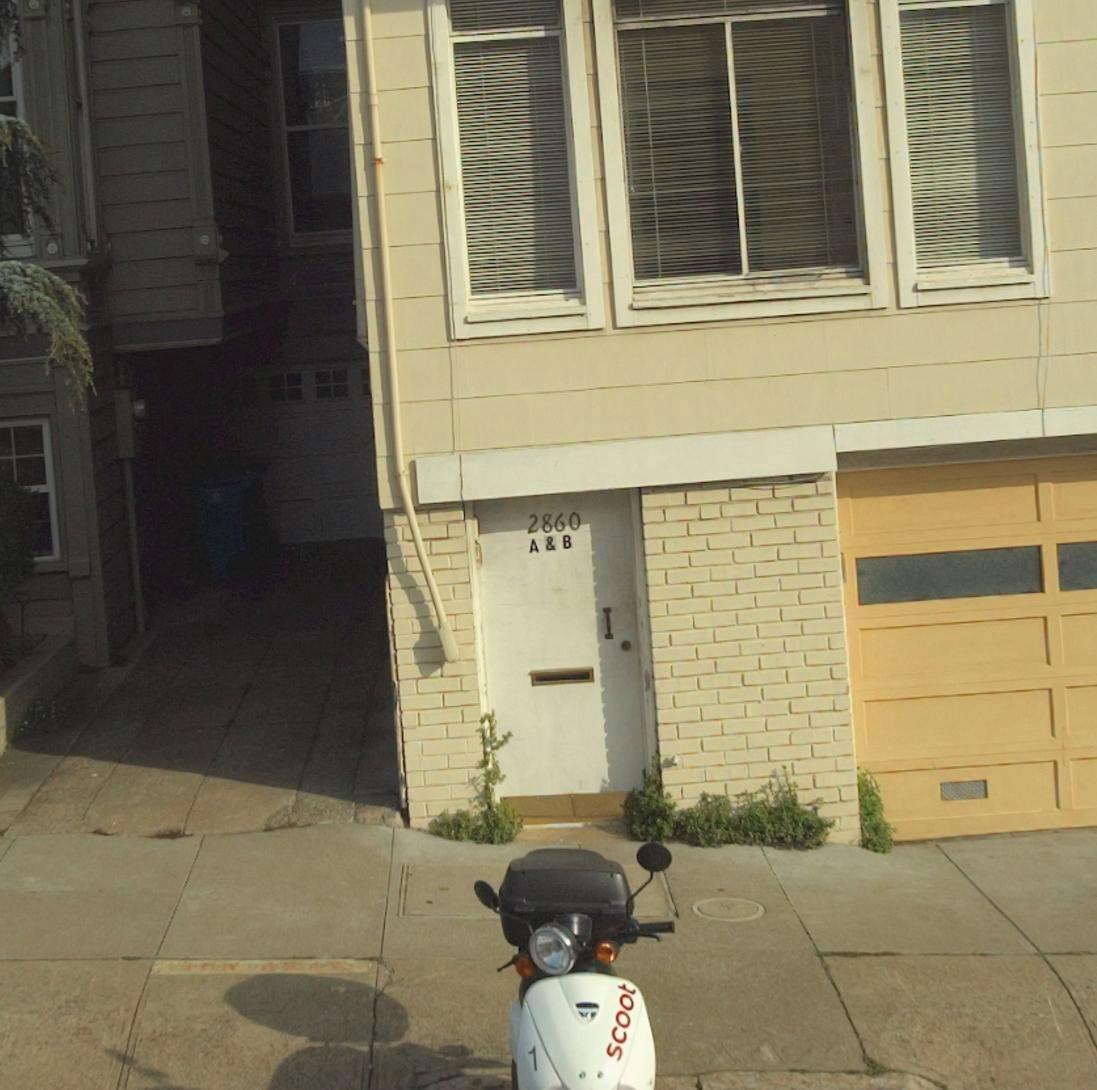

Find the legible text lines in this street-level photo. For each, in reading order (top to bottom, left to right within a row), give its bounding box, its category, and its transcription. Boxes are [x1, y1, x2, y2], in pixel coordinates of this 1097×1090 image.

[525, 509, 583, 536] StreetNumber: 2860
[525, 531, 578, 558] StreetNumber: A & B
[602, 979, 640, 1067] None: scoot
[524, 1040, 540, 1076] None: 1